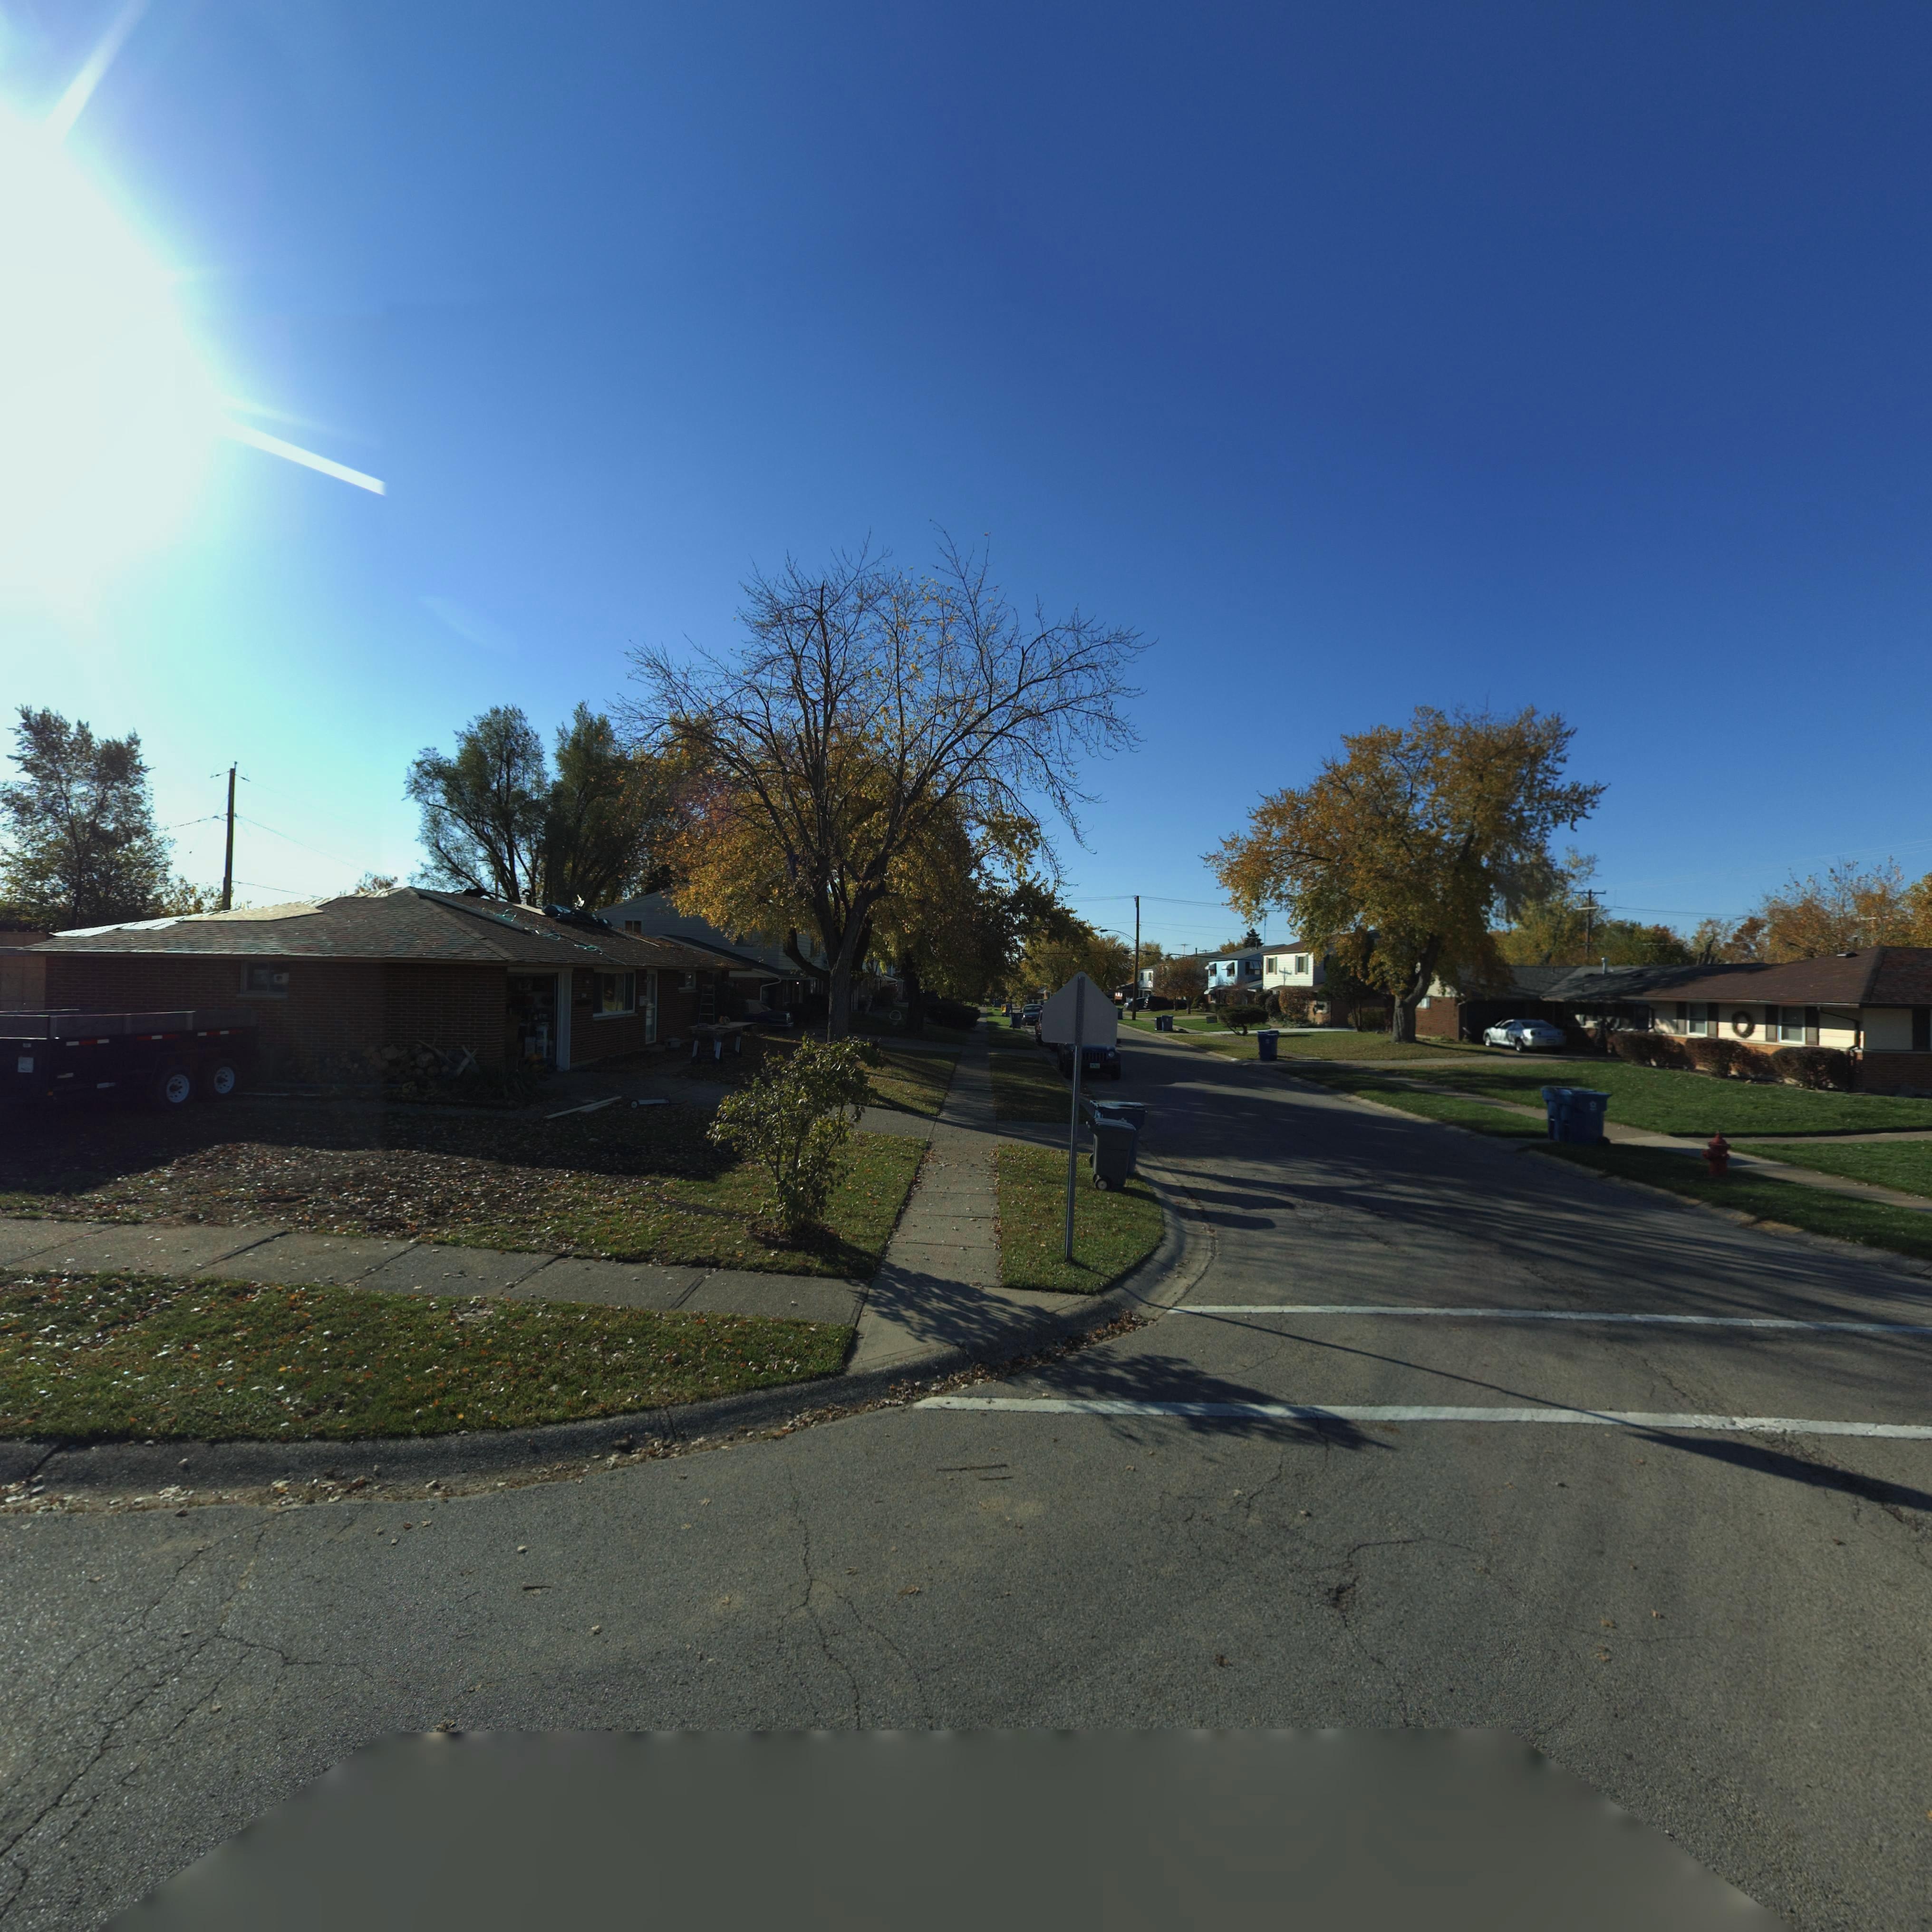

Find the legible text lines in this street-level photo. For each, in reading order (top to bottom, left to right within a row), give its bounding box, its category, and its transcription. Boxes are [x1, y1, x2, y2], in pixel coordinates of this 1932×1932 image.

[581, 993, 588, 998] StreetNumber: 7***